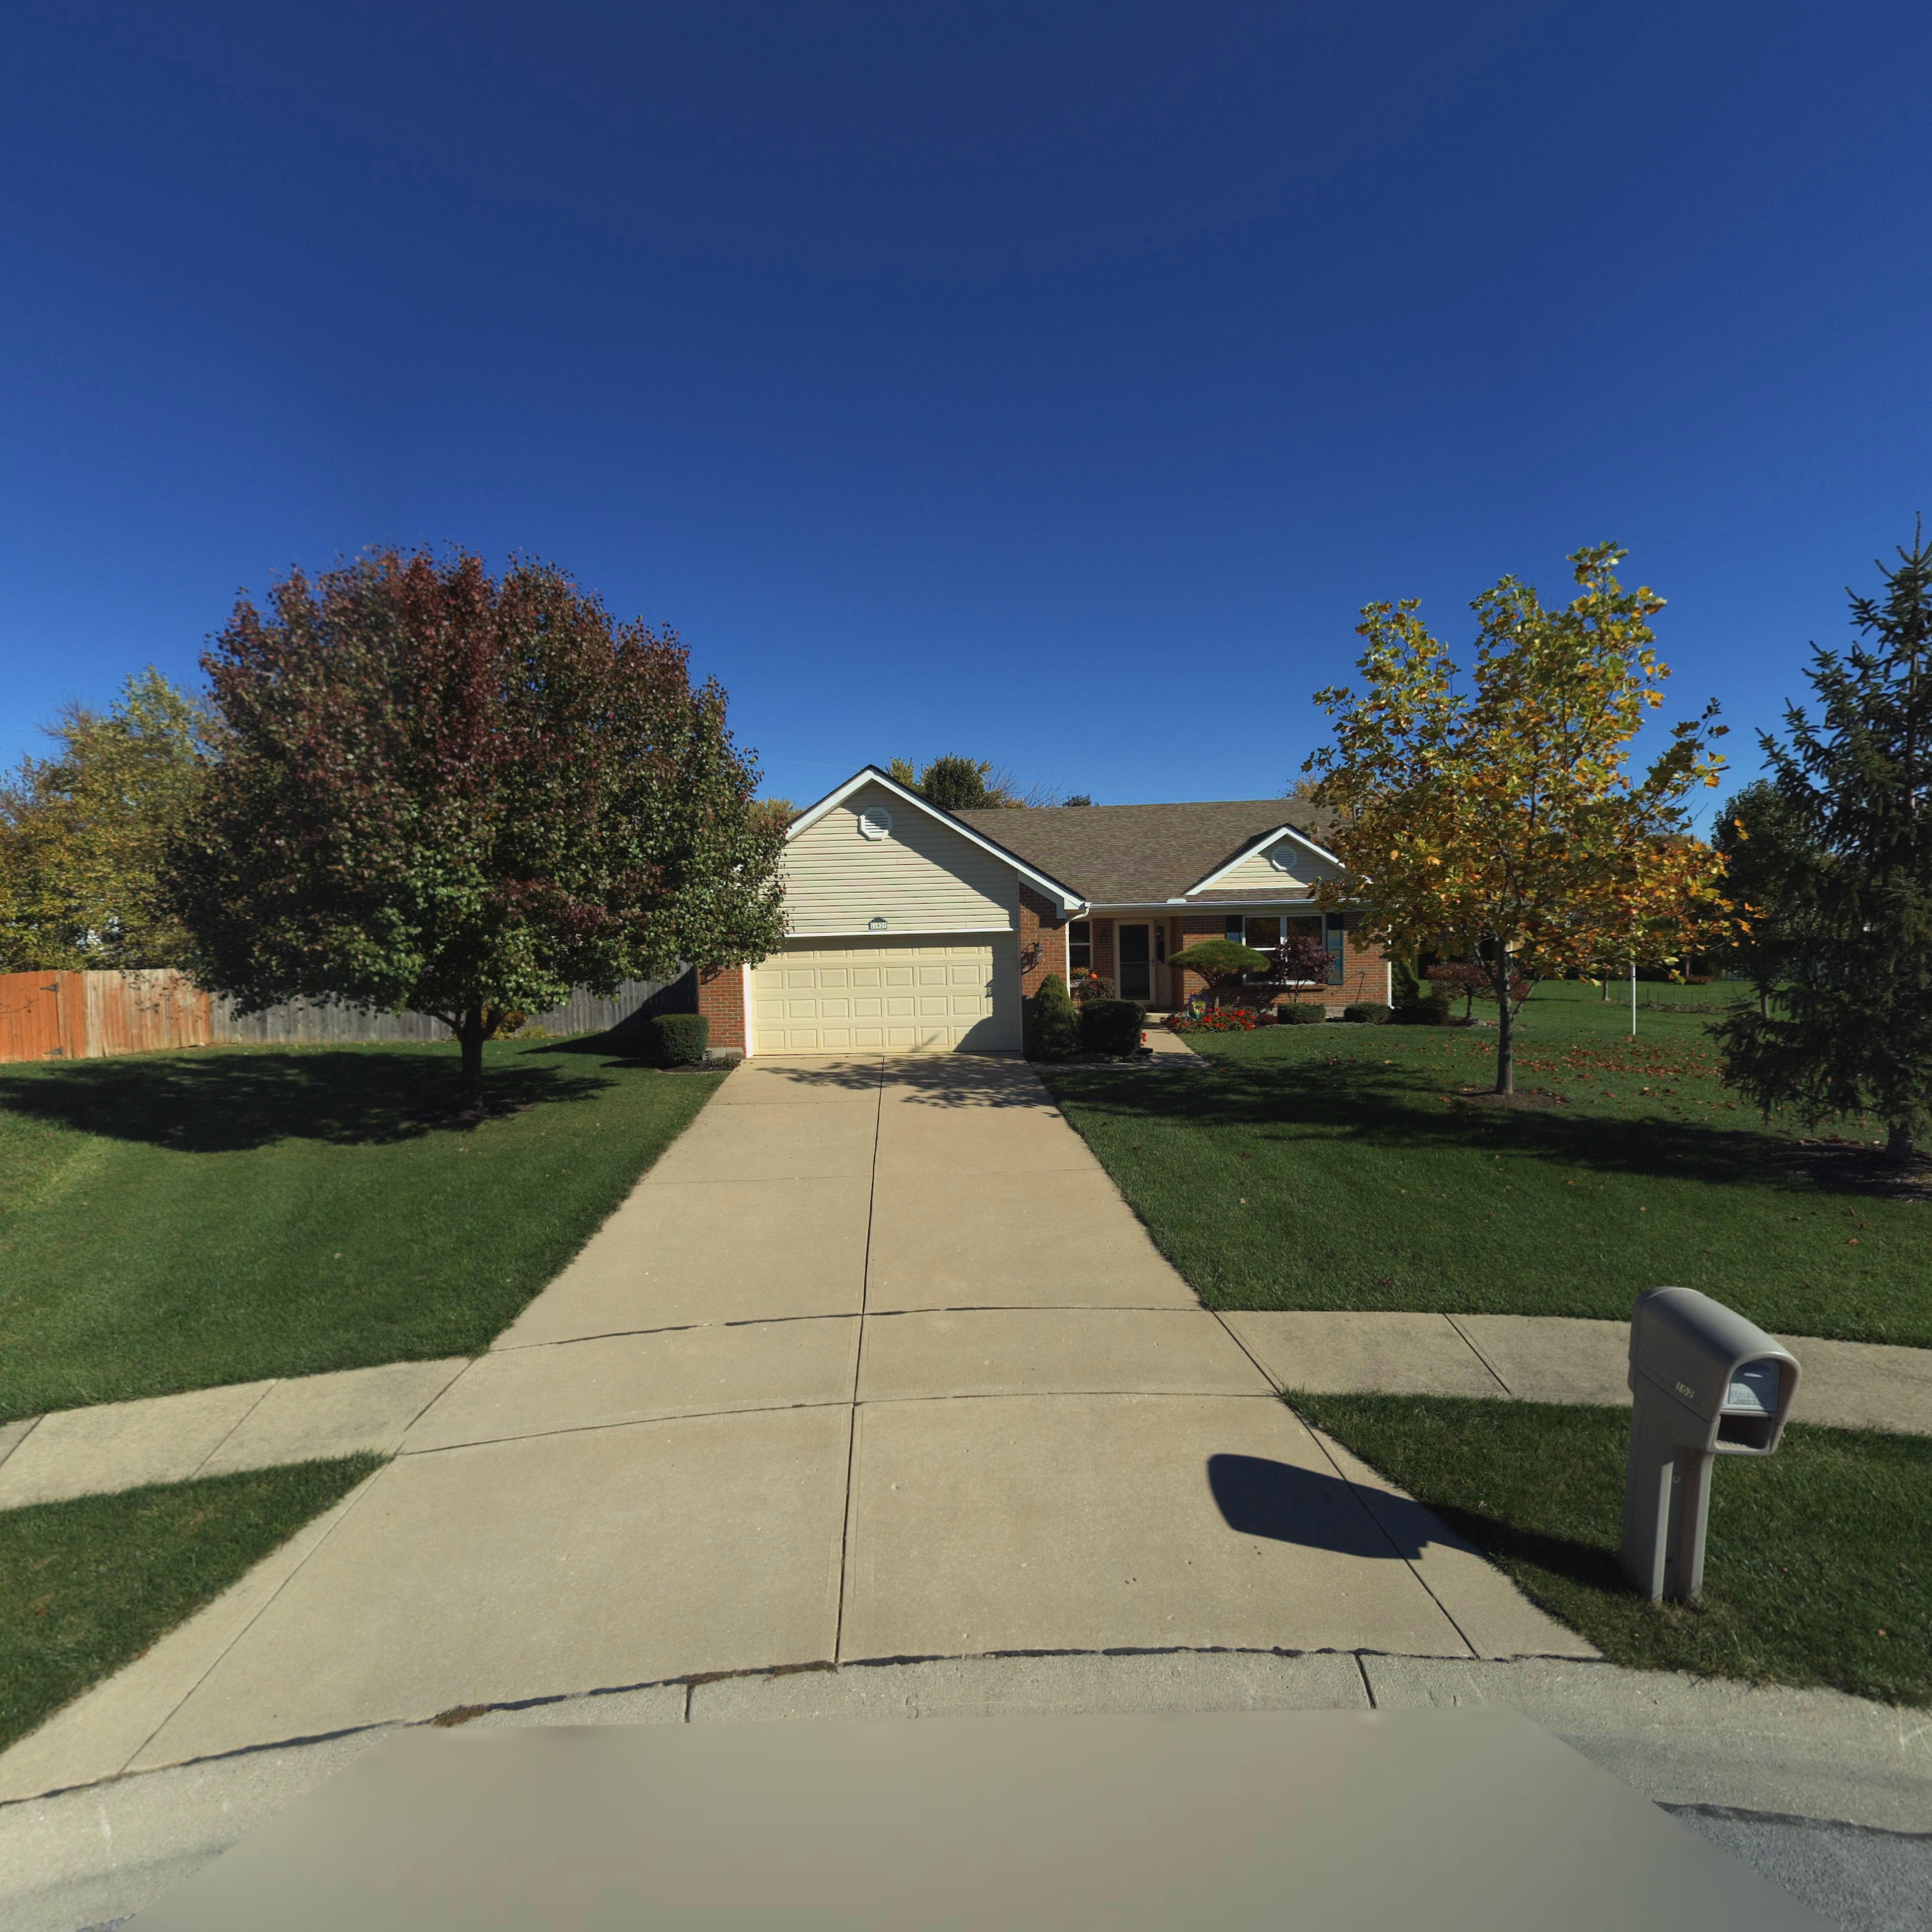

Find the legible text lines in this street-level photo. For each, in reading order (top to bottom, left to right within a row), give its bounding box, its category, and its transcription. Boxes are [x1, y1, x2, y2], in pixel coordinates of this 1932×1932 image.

[874, 923, 883, 928] StreetNumber: 102
[1676, 1381, 1695, 1400] StreetNumber: 102